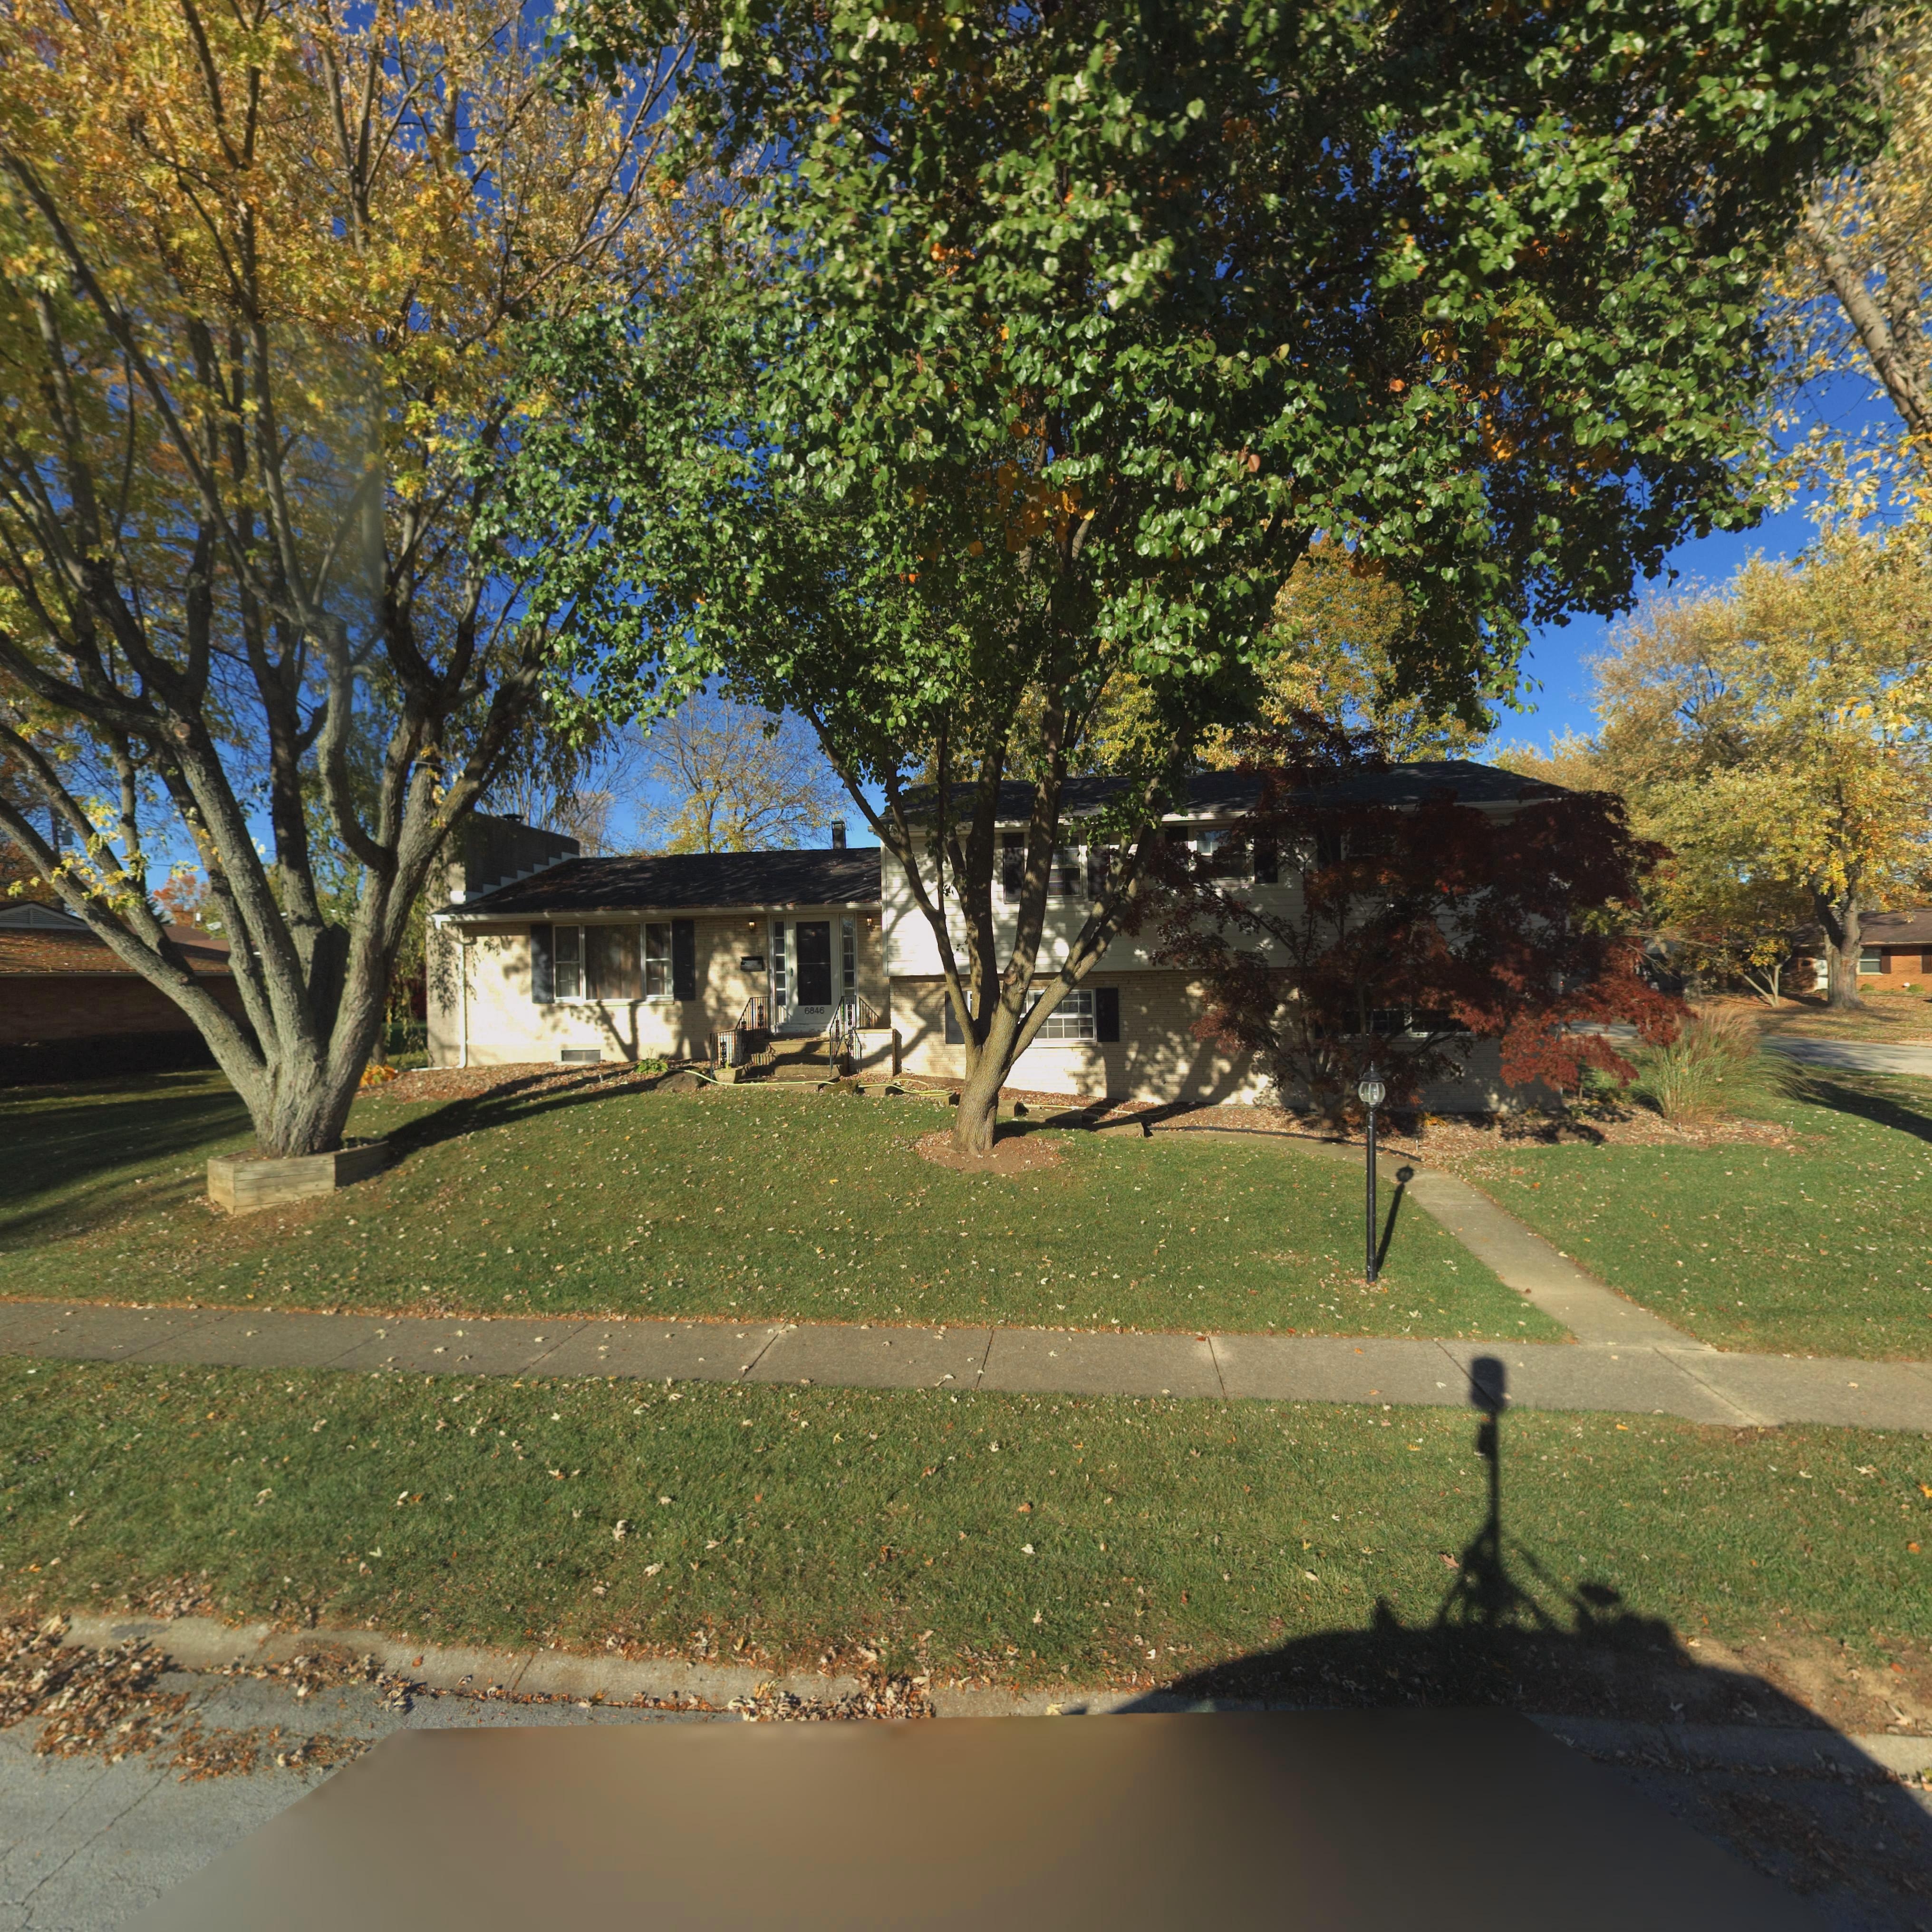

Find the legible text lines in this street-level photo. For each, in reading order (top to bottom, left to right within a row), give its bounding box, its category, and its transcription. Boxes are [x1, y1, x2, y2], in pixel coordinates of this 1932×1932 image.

[804, 1006, 825, 1014] StreetNumber: 6846